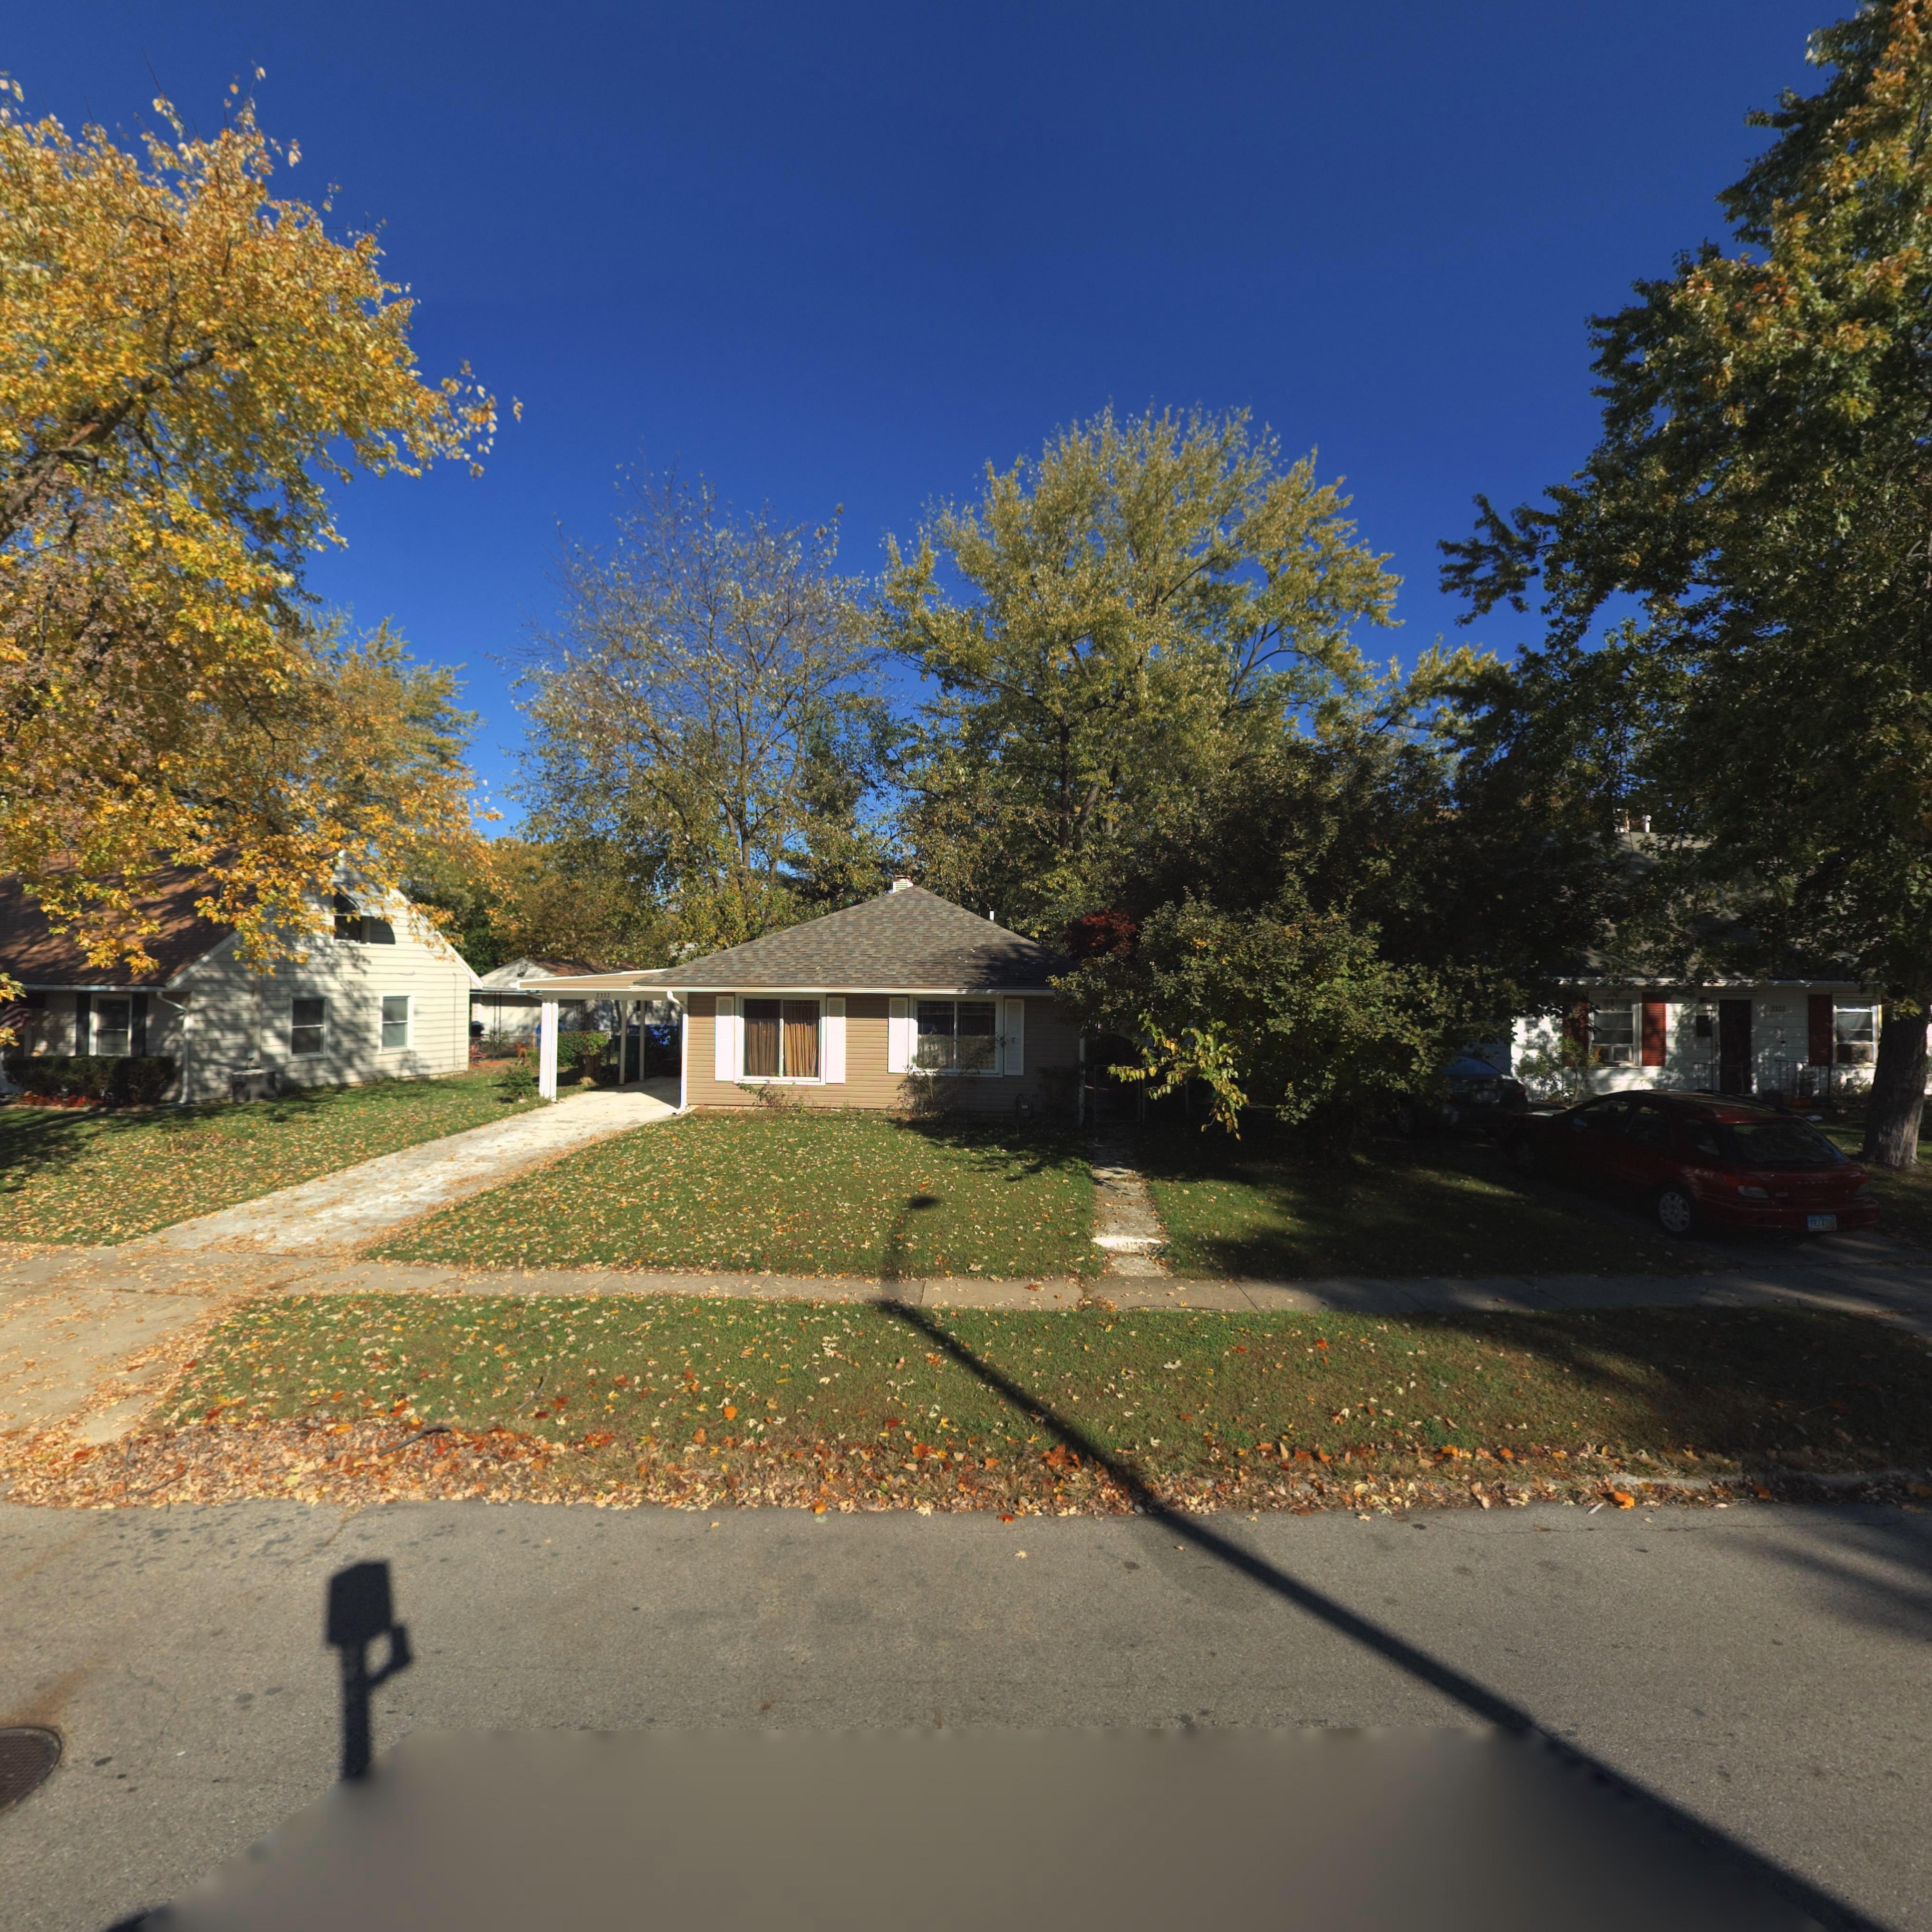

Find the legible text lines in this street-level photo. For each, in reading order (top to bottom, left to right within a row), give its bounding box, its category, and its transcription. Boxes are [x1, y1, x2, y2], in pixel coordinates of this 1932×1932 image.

[594, 992, 611, 999] StreetNumber: 2337